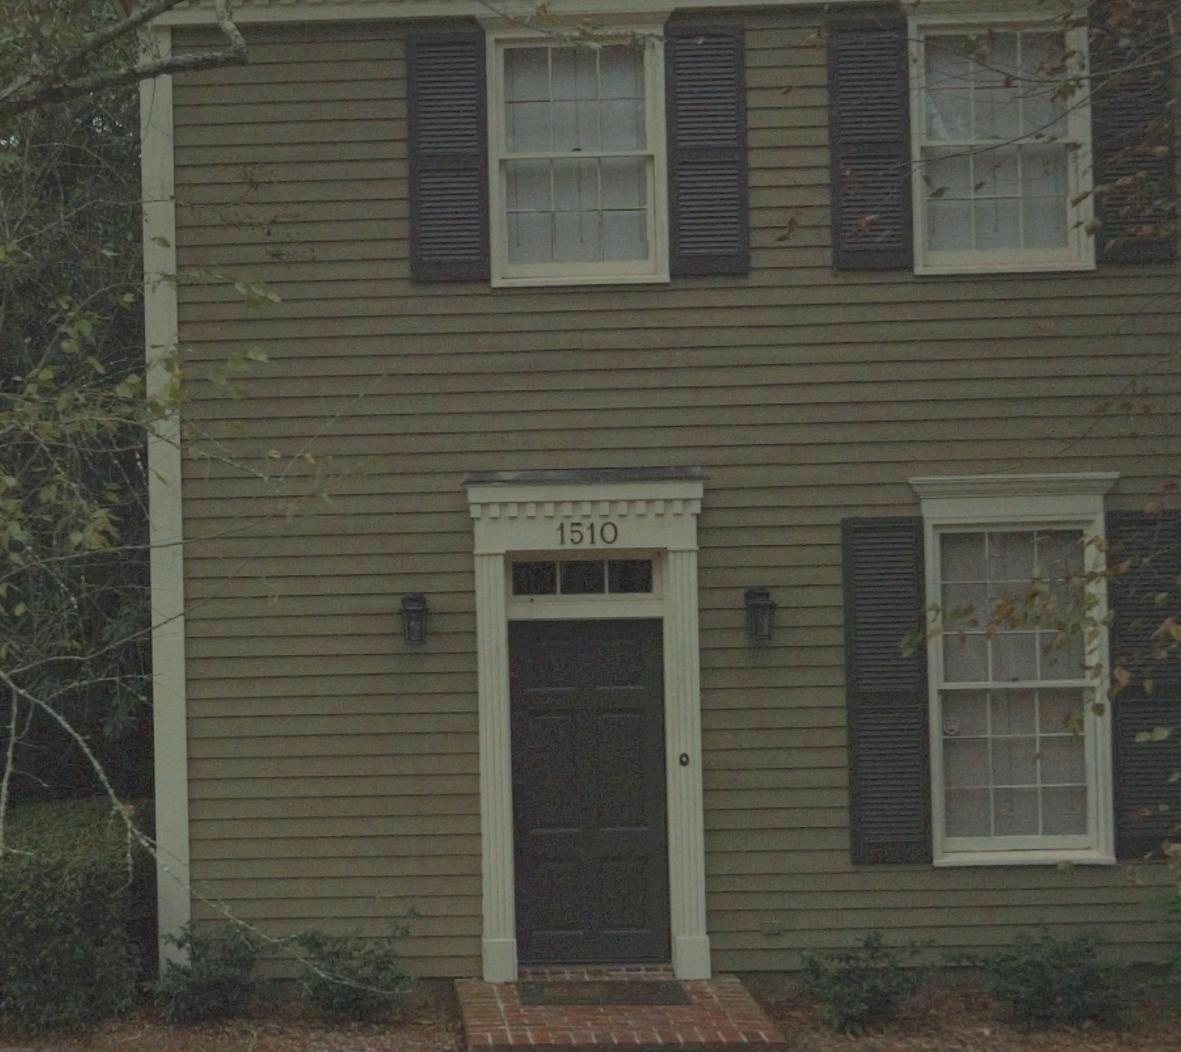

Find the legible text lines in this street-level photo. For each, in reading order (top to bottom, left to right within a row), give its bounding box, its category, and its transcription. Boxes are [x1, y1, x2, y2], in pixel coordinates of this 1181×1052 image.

[555, 522, 619, 545] StreetNumber: 1510